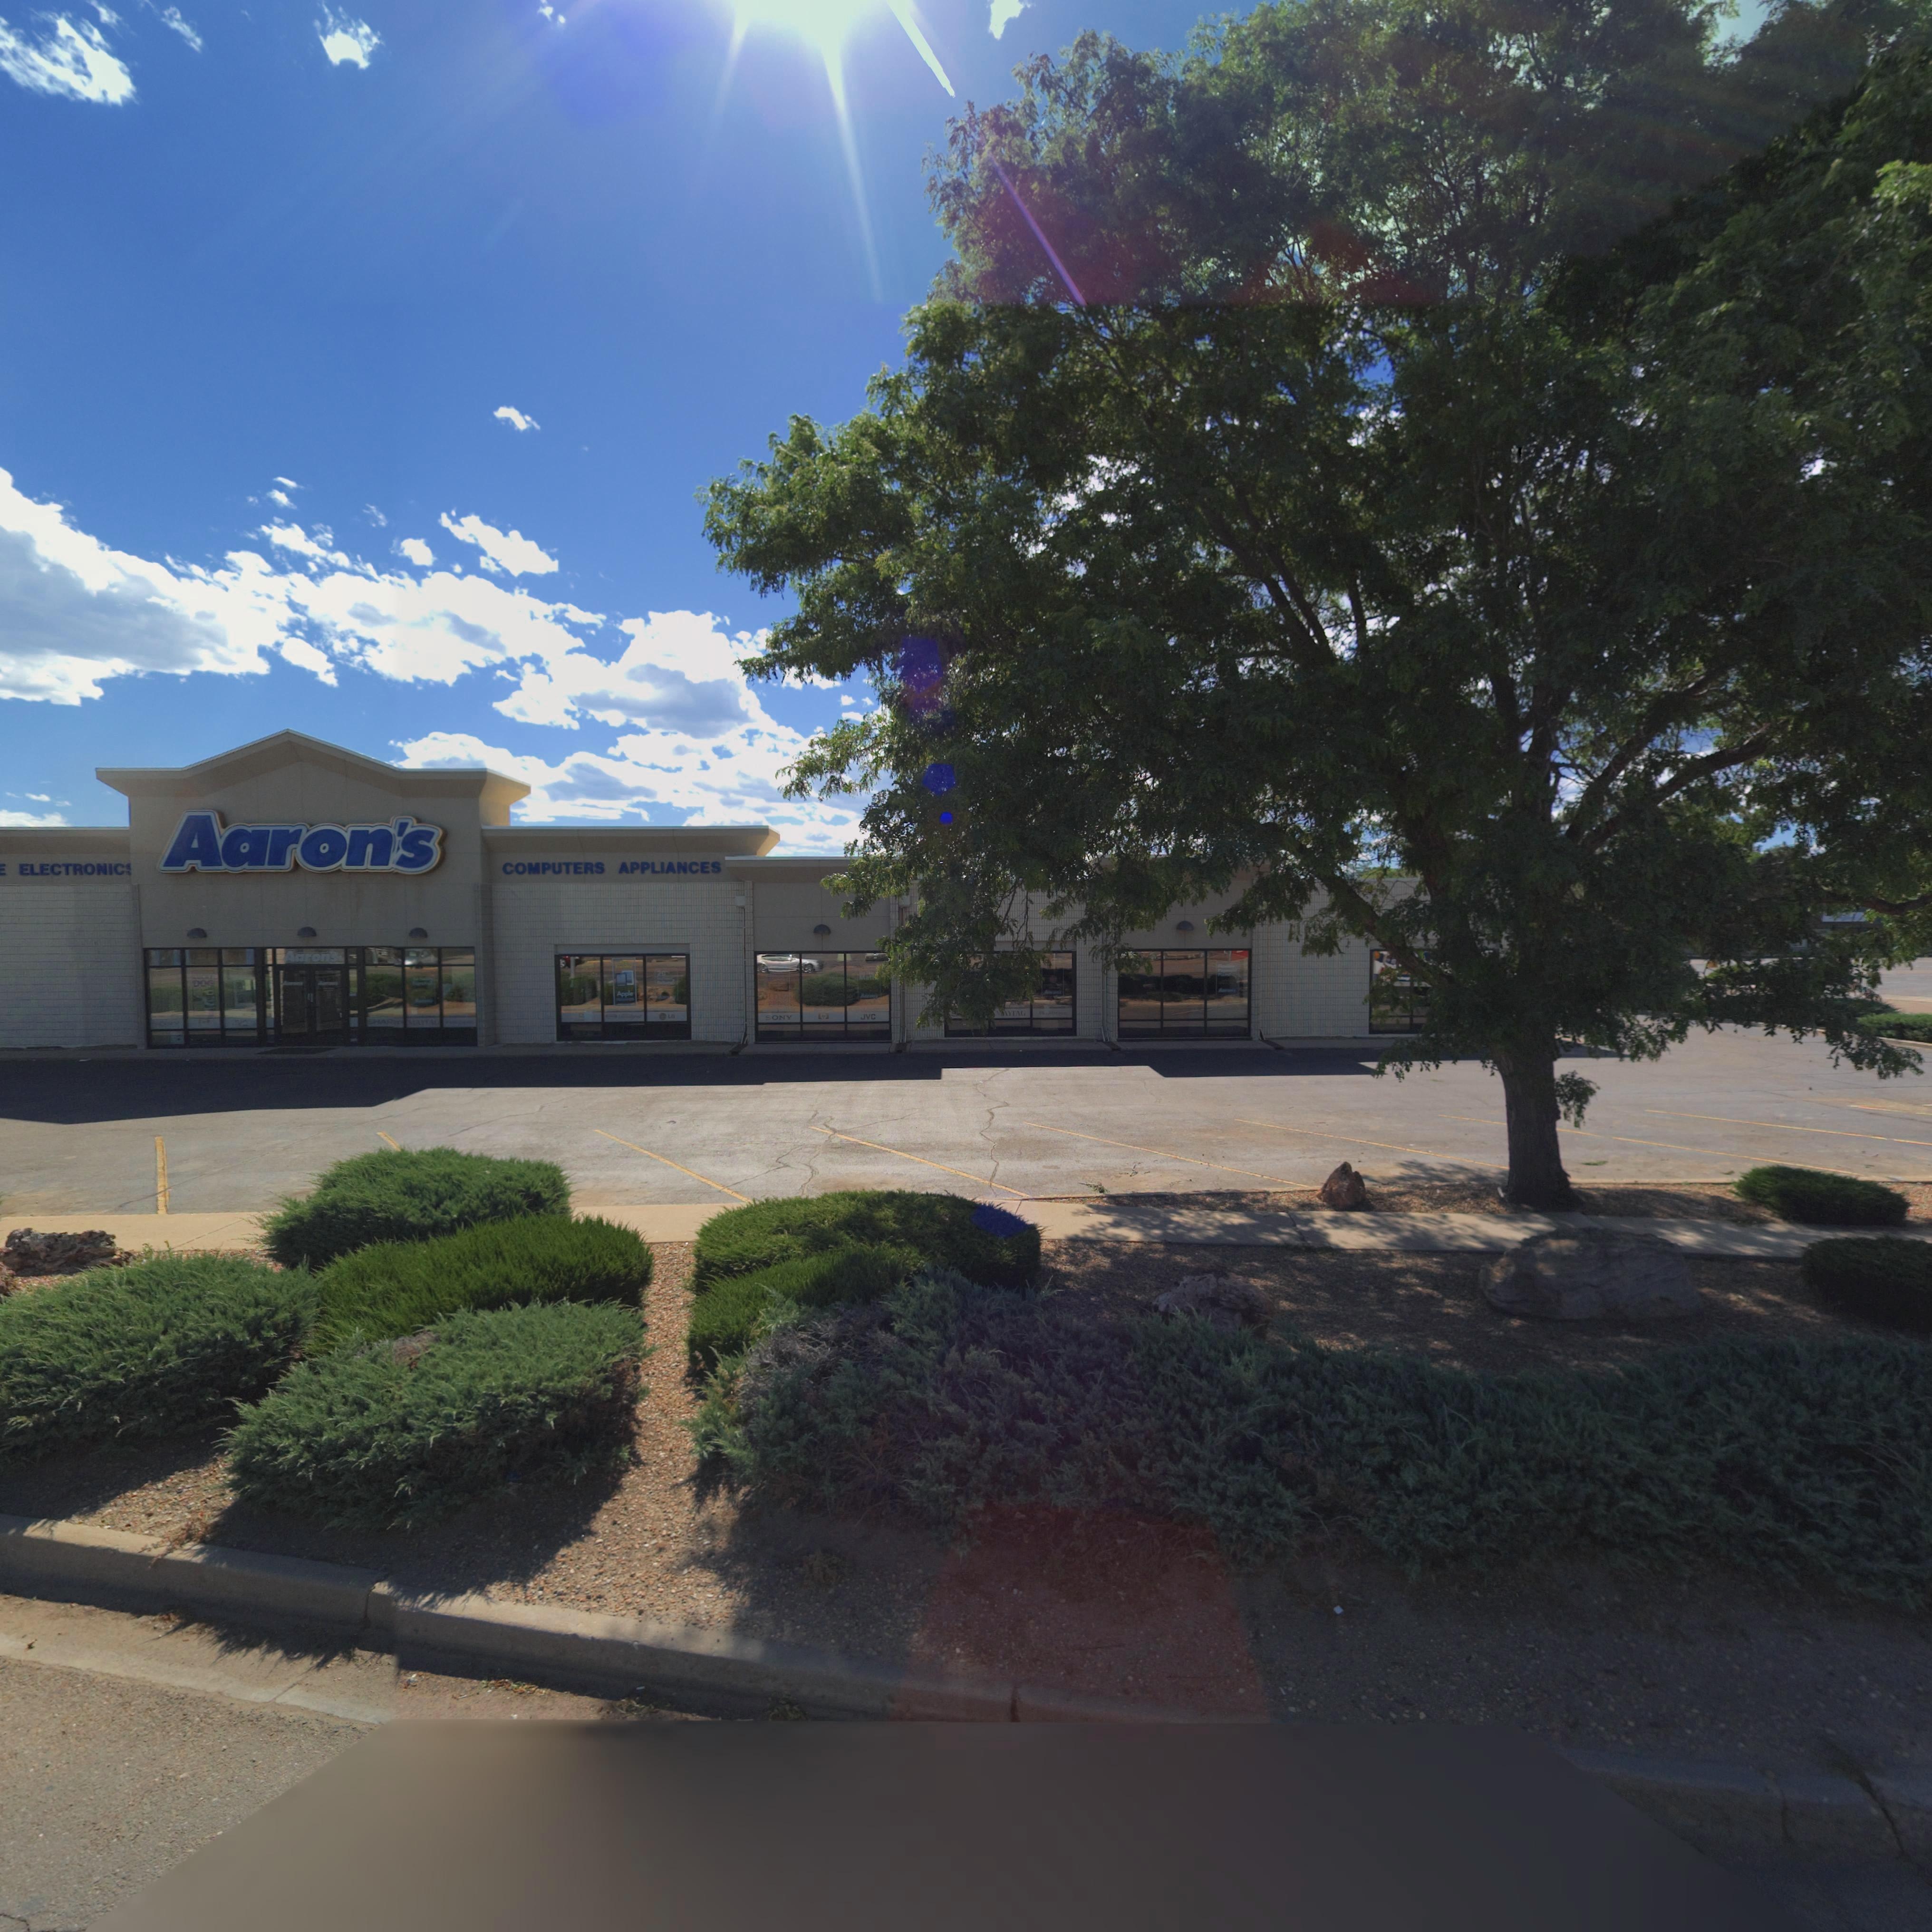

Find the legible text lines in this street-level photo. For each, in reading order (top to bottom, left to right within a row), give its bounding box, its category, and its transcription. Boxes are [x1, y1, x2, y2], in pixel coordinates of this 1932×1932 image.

[160, 813, 437, 870] BusinessName: Aaron's
[282, 950, 339, 963] BusinessName: Aaron's
[317, 980, 324, 985] BusinessName: A
[1043, 989, 1049, 994] BusinessName: A
[1218, 987, 1223, 993] BusinessName: A
[859, 992, 879, 998] BusinessName: Aa*on's